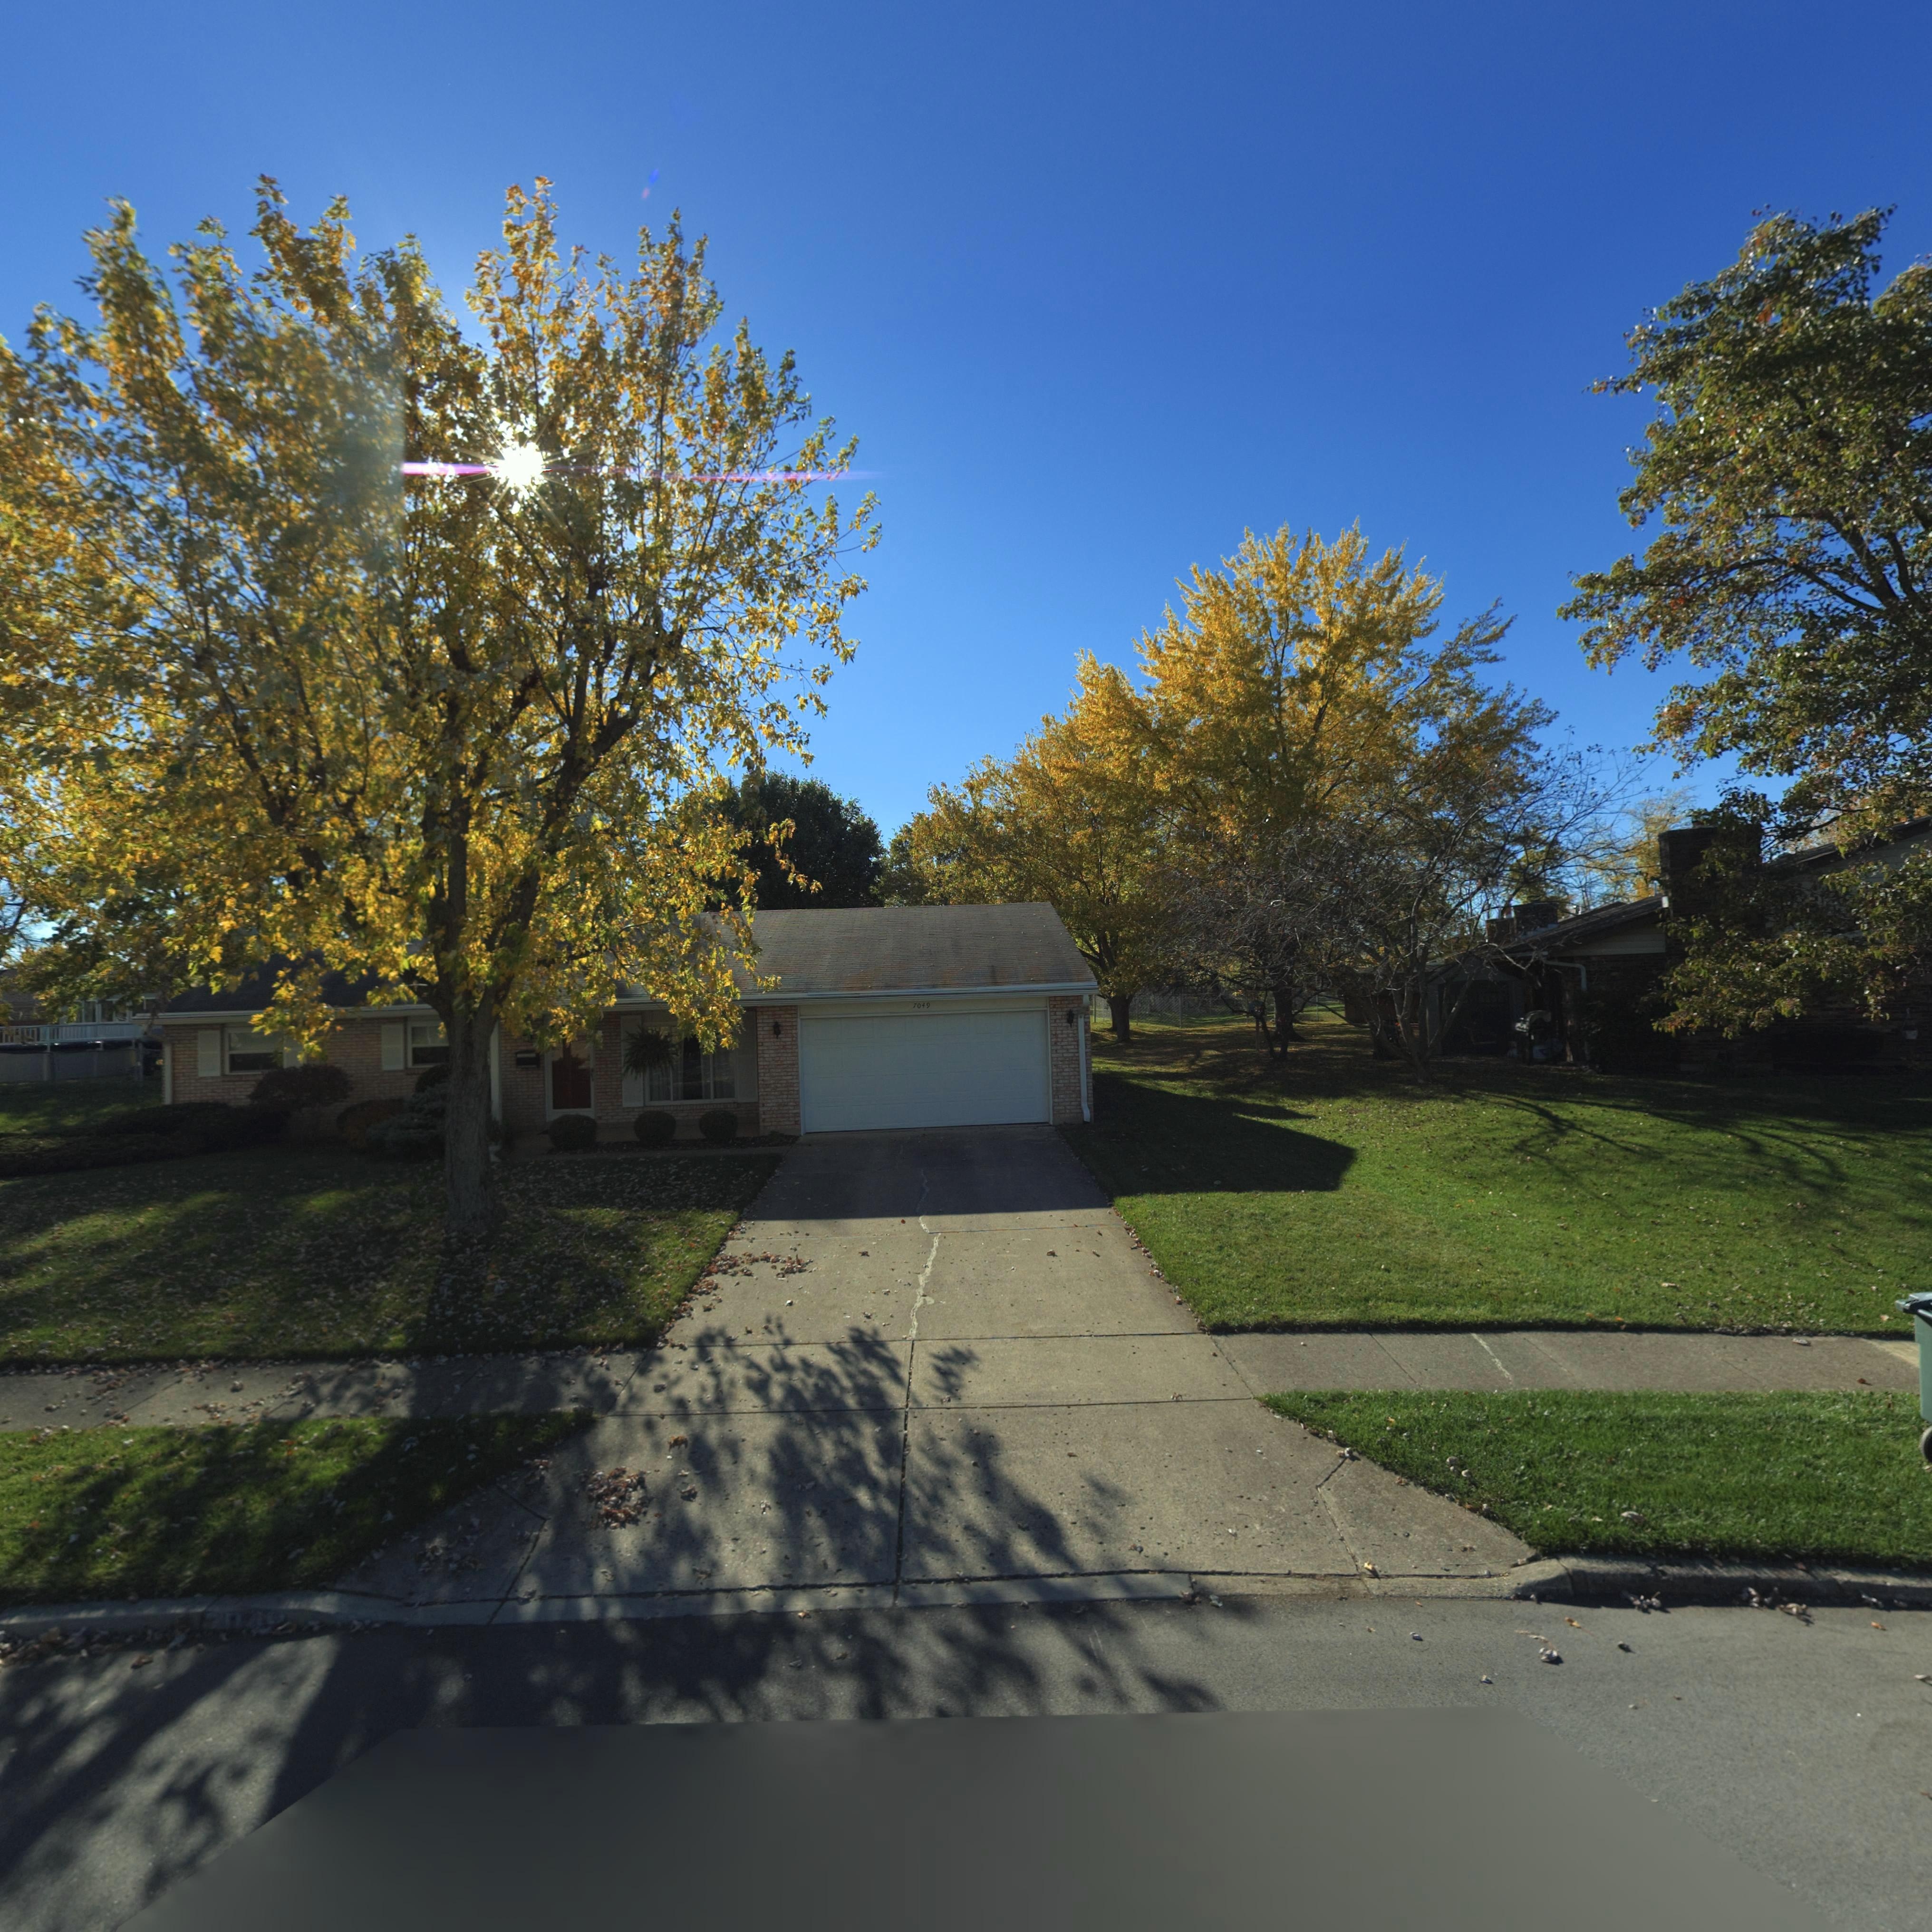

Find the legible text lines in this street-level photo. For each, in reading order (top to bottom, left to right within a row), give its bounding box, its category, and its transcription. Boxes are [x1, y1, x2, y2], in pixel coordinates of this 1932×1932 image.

[912, 1002, 931, 1009] StreetNumber: 7049
[204, 1609, 288, 1632] StreetNumber: 704*